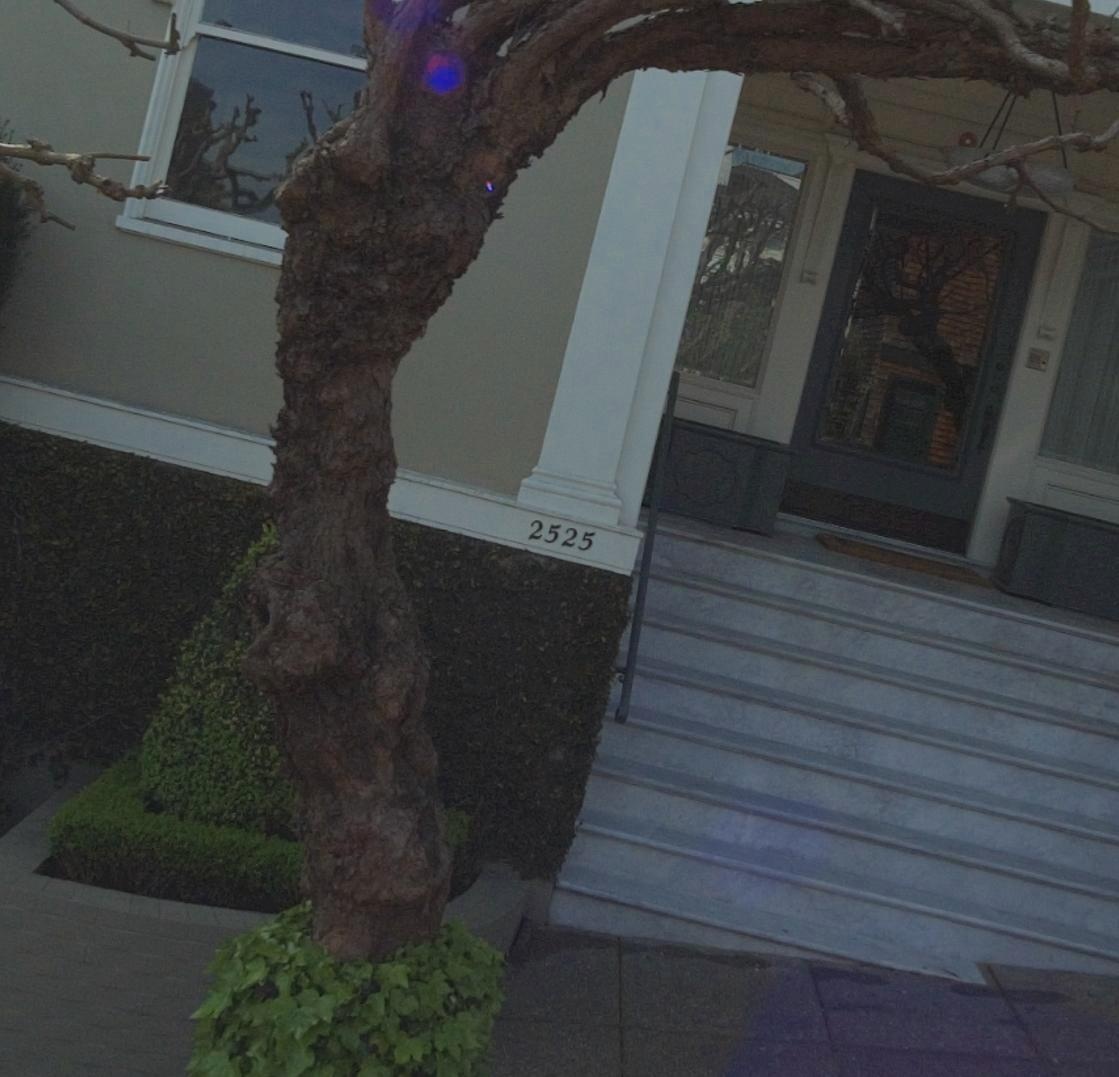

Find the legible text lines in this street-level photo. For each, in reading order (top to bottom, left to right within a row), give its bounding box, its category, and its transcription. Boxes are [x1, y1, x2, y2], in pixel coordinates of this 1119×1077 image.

[525, 517, 598, 554] StreetNumber: 2525